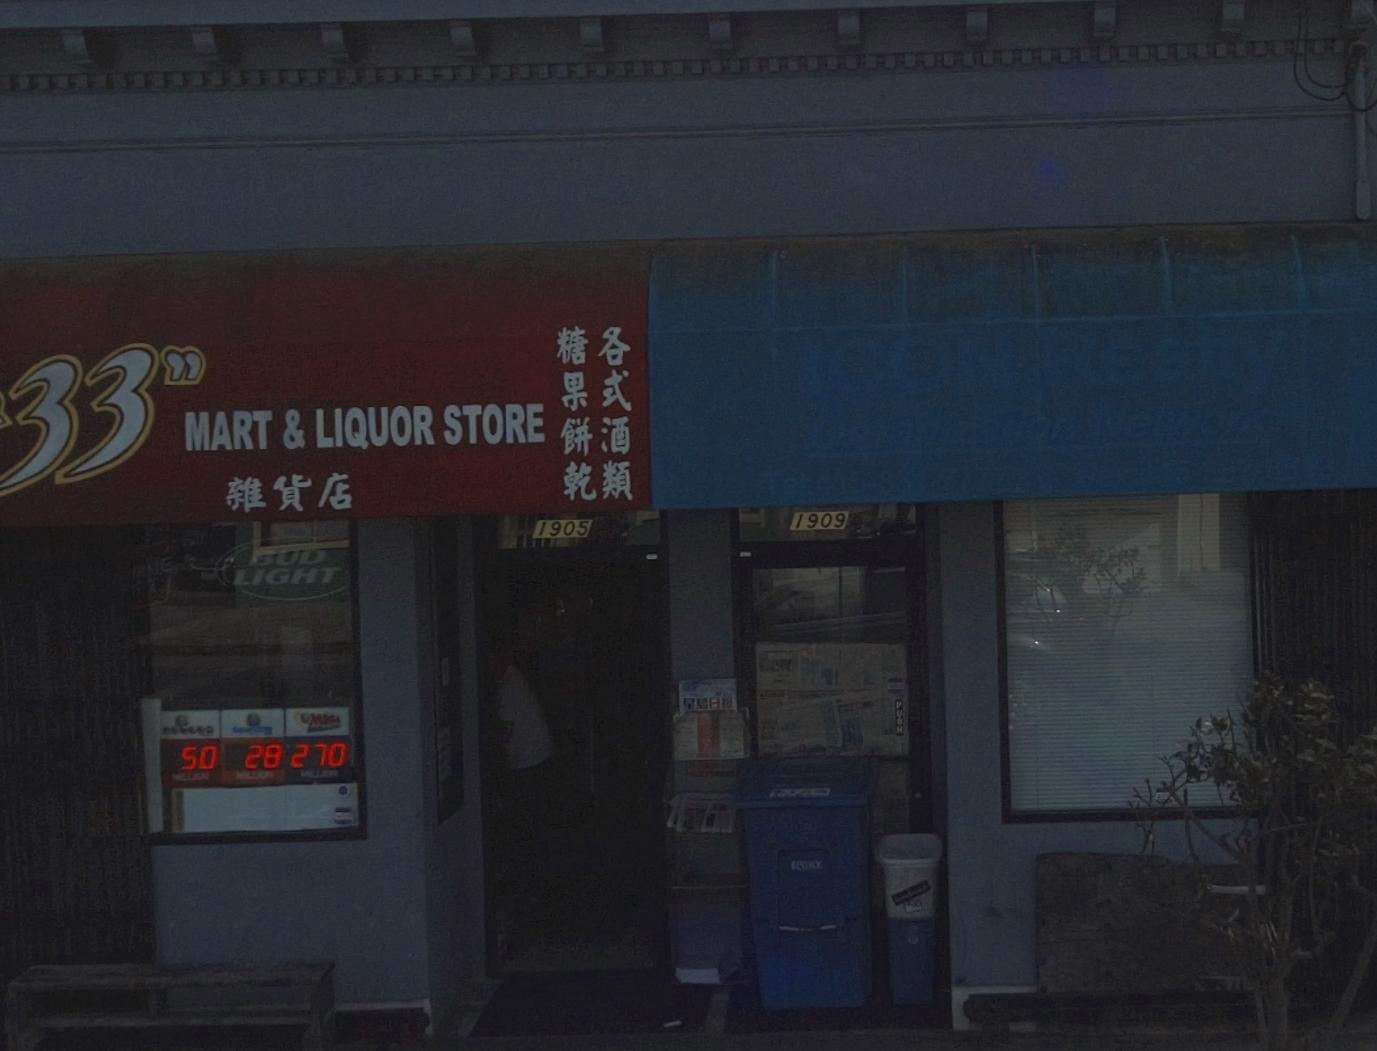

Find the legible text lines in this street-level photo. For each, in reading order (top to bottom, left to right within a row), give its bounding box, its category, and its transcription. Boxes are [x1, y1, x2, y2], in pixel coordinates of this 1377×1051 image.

[51, 340, 161, 488] BusinessName: 3
[183, 401, 547, 452] BusinessName: MART & LIQUOR STORE
[538, 519, 591, 537] StreetNumber: 1905
[794, 511, 847, 530] StreetNumber: 1909
[242, 544, 332, 569] None: BUD
[229, 563, 348, 589] None: LIGHT
[895, 699, 904, 735] None: PU*H
[179, 743, 222, 772] None: 50
[241, 741, 285, 772] None: 28
[287, 739, 350, 770] None: 270